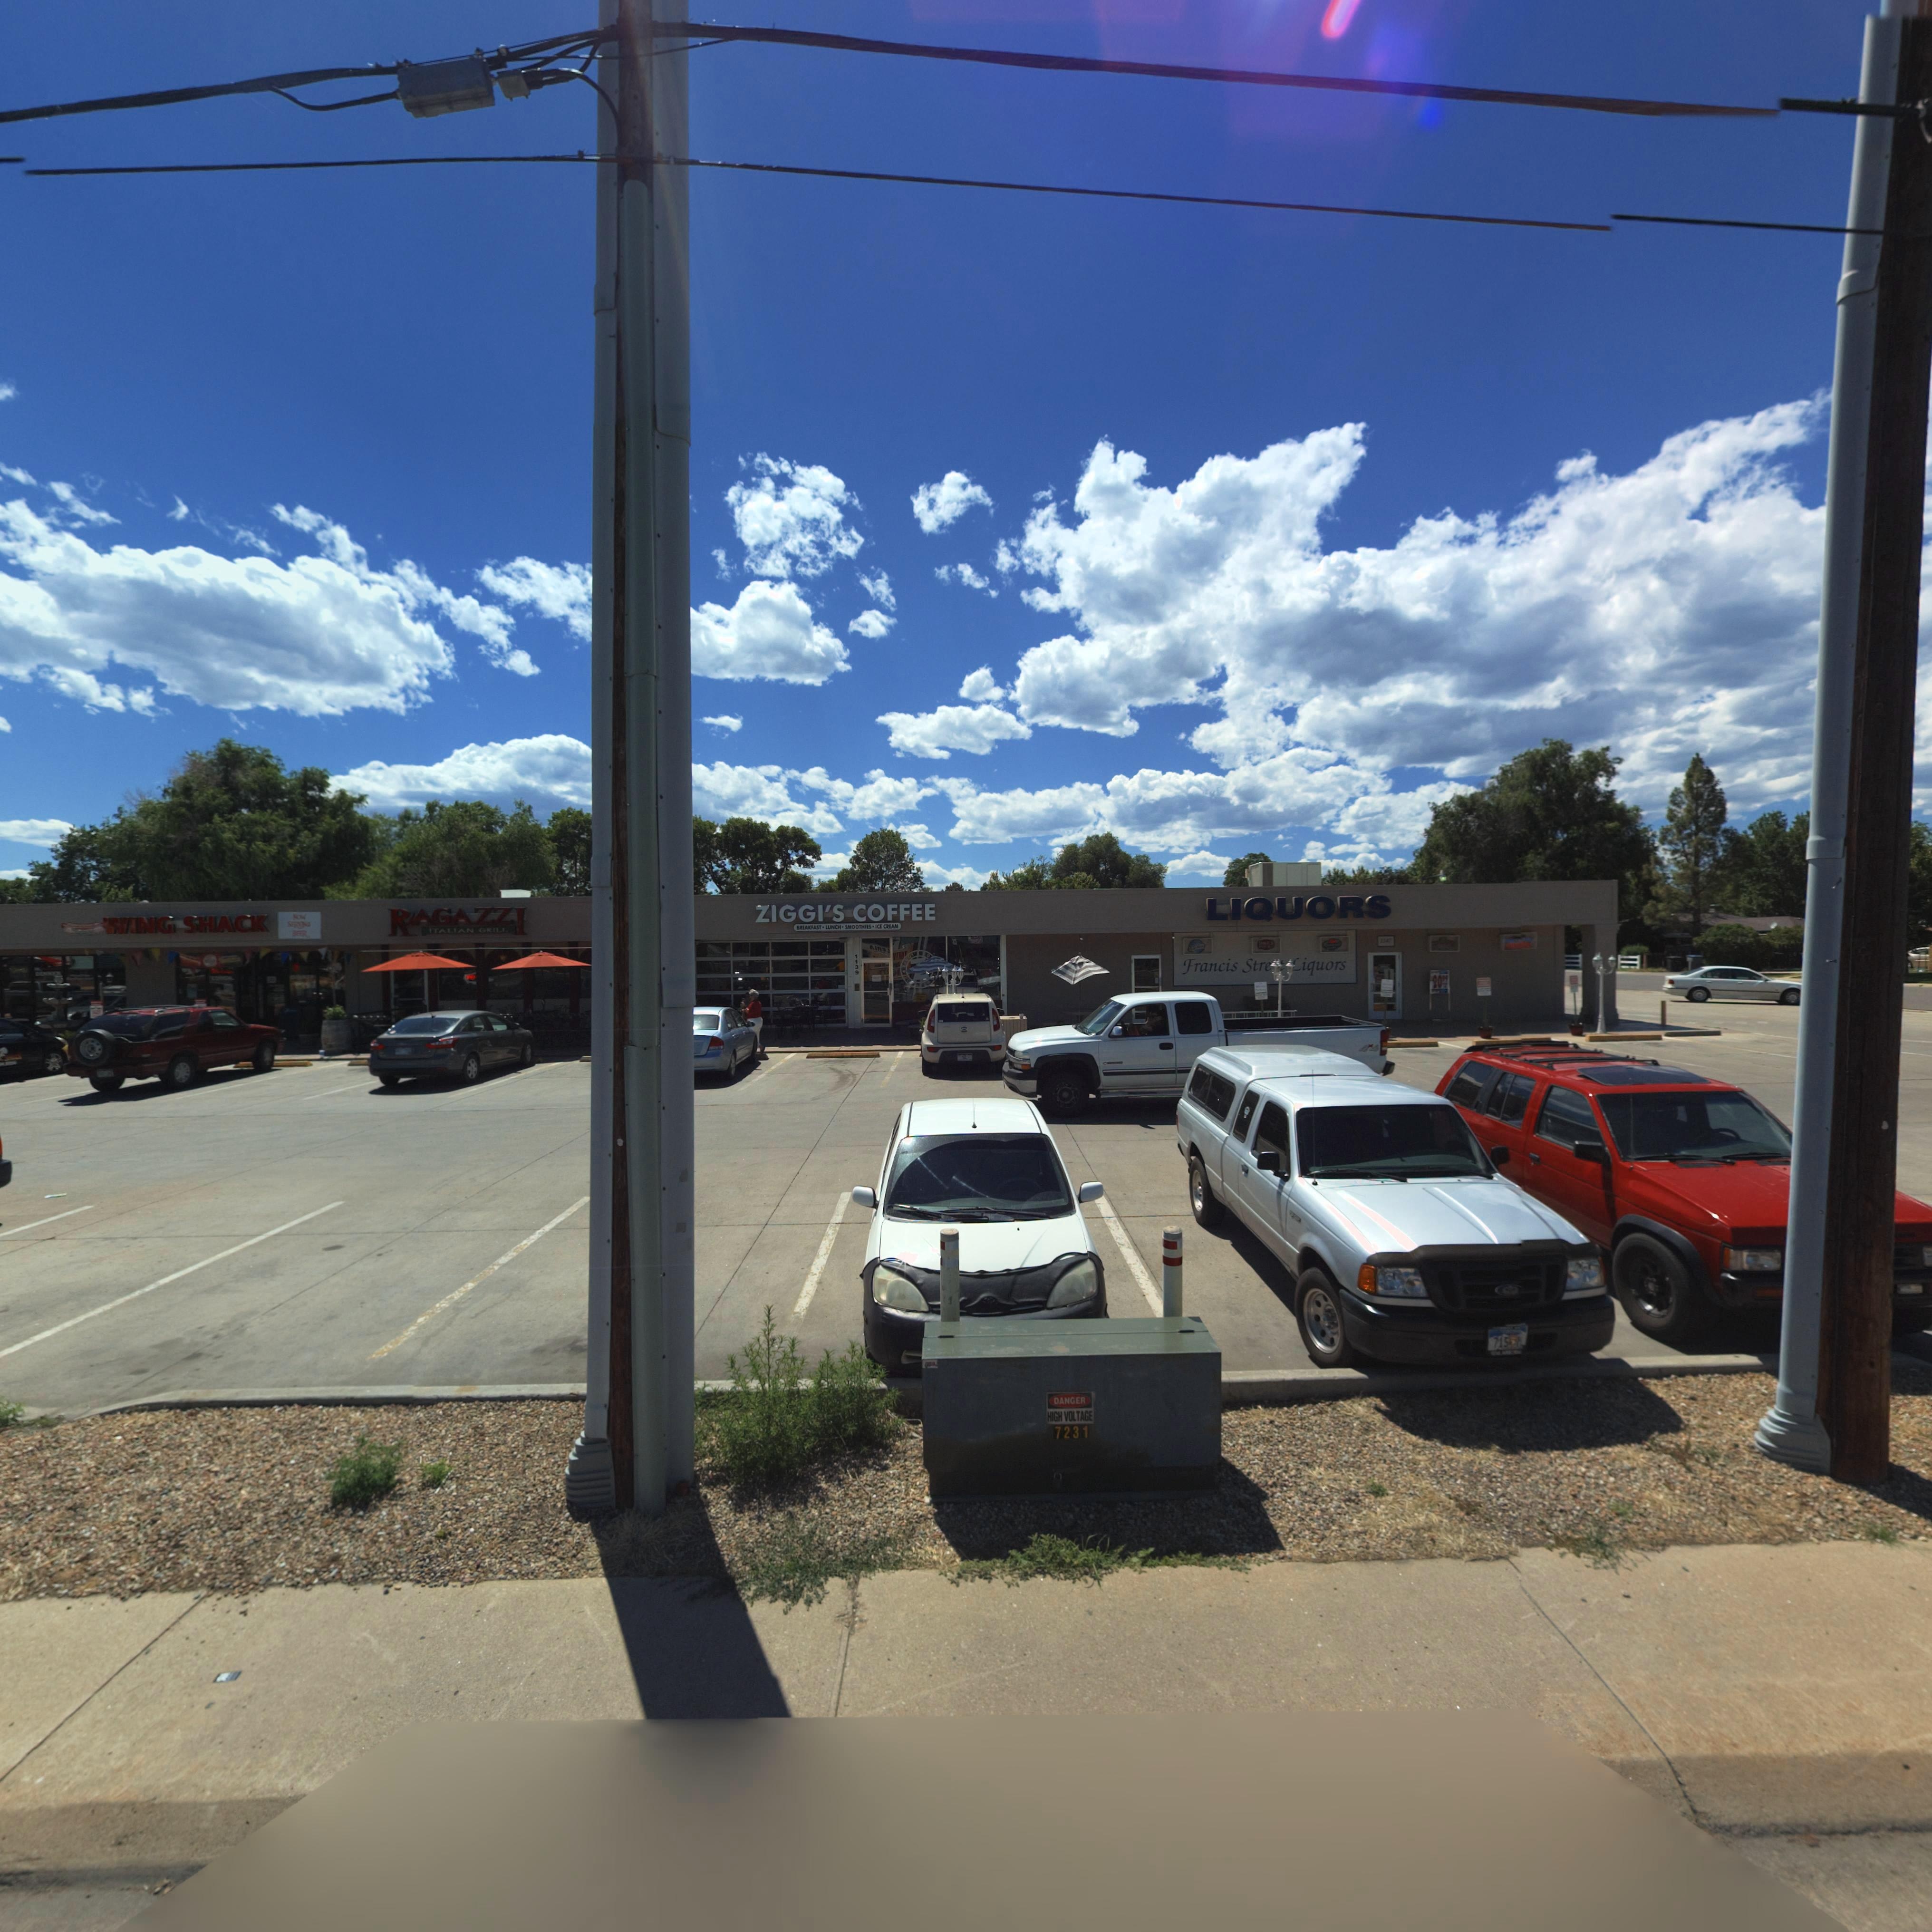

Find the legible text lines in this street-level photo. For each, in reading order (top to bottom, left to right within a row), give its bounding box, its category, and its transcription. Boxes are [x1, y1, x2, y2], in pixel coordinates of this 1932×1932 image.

[101, 913, 269, 934] BusinessName: WING SHACK
[387, 907, 527, 936] BusinessName: RAGAZZI
[755, 903, 935, 922] BusinessName: ZIGGI'S COFFEE
[1206, 894, 1391, 920] BusinessName: LIQUORS
[1379, 937, 1392, 943] StreetNumber: 1147
[854, 954, 860, 975] StreetNumber: 1139
[1182, 956, 1346, 976] BusinessName: Francis Stre**Liquors